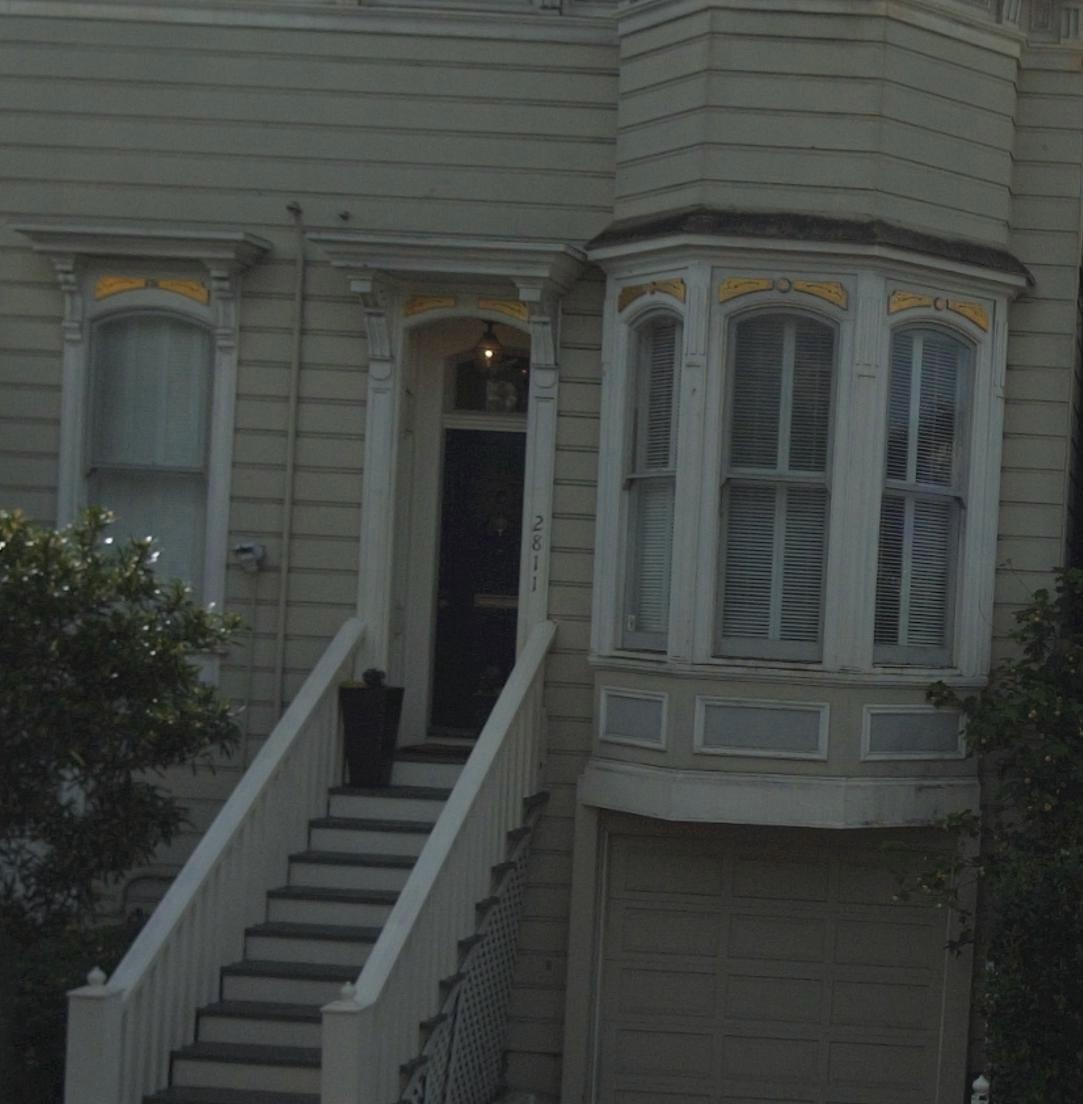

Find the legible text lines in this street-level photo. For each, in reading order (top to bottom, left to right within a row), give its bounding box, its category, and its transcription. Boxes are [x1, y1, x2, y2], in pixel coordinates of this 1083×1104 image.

[527, 510, 546, 594] StreetNumber: 2811